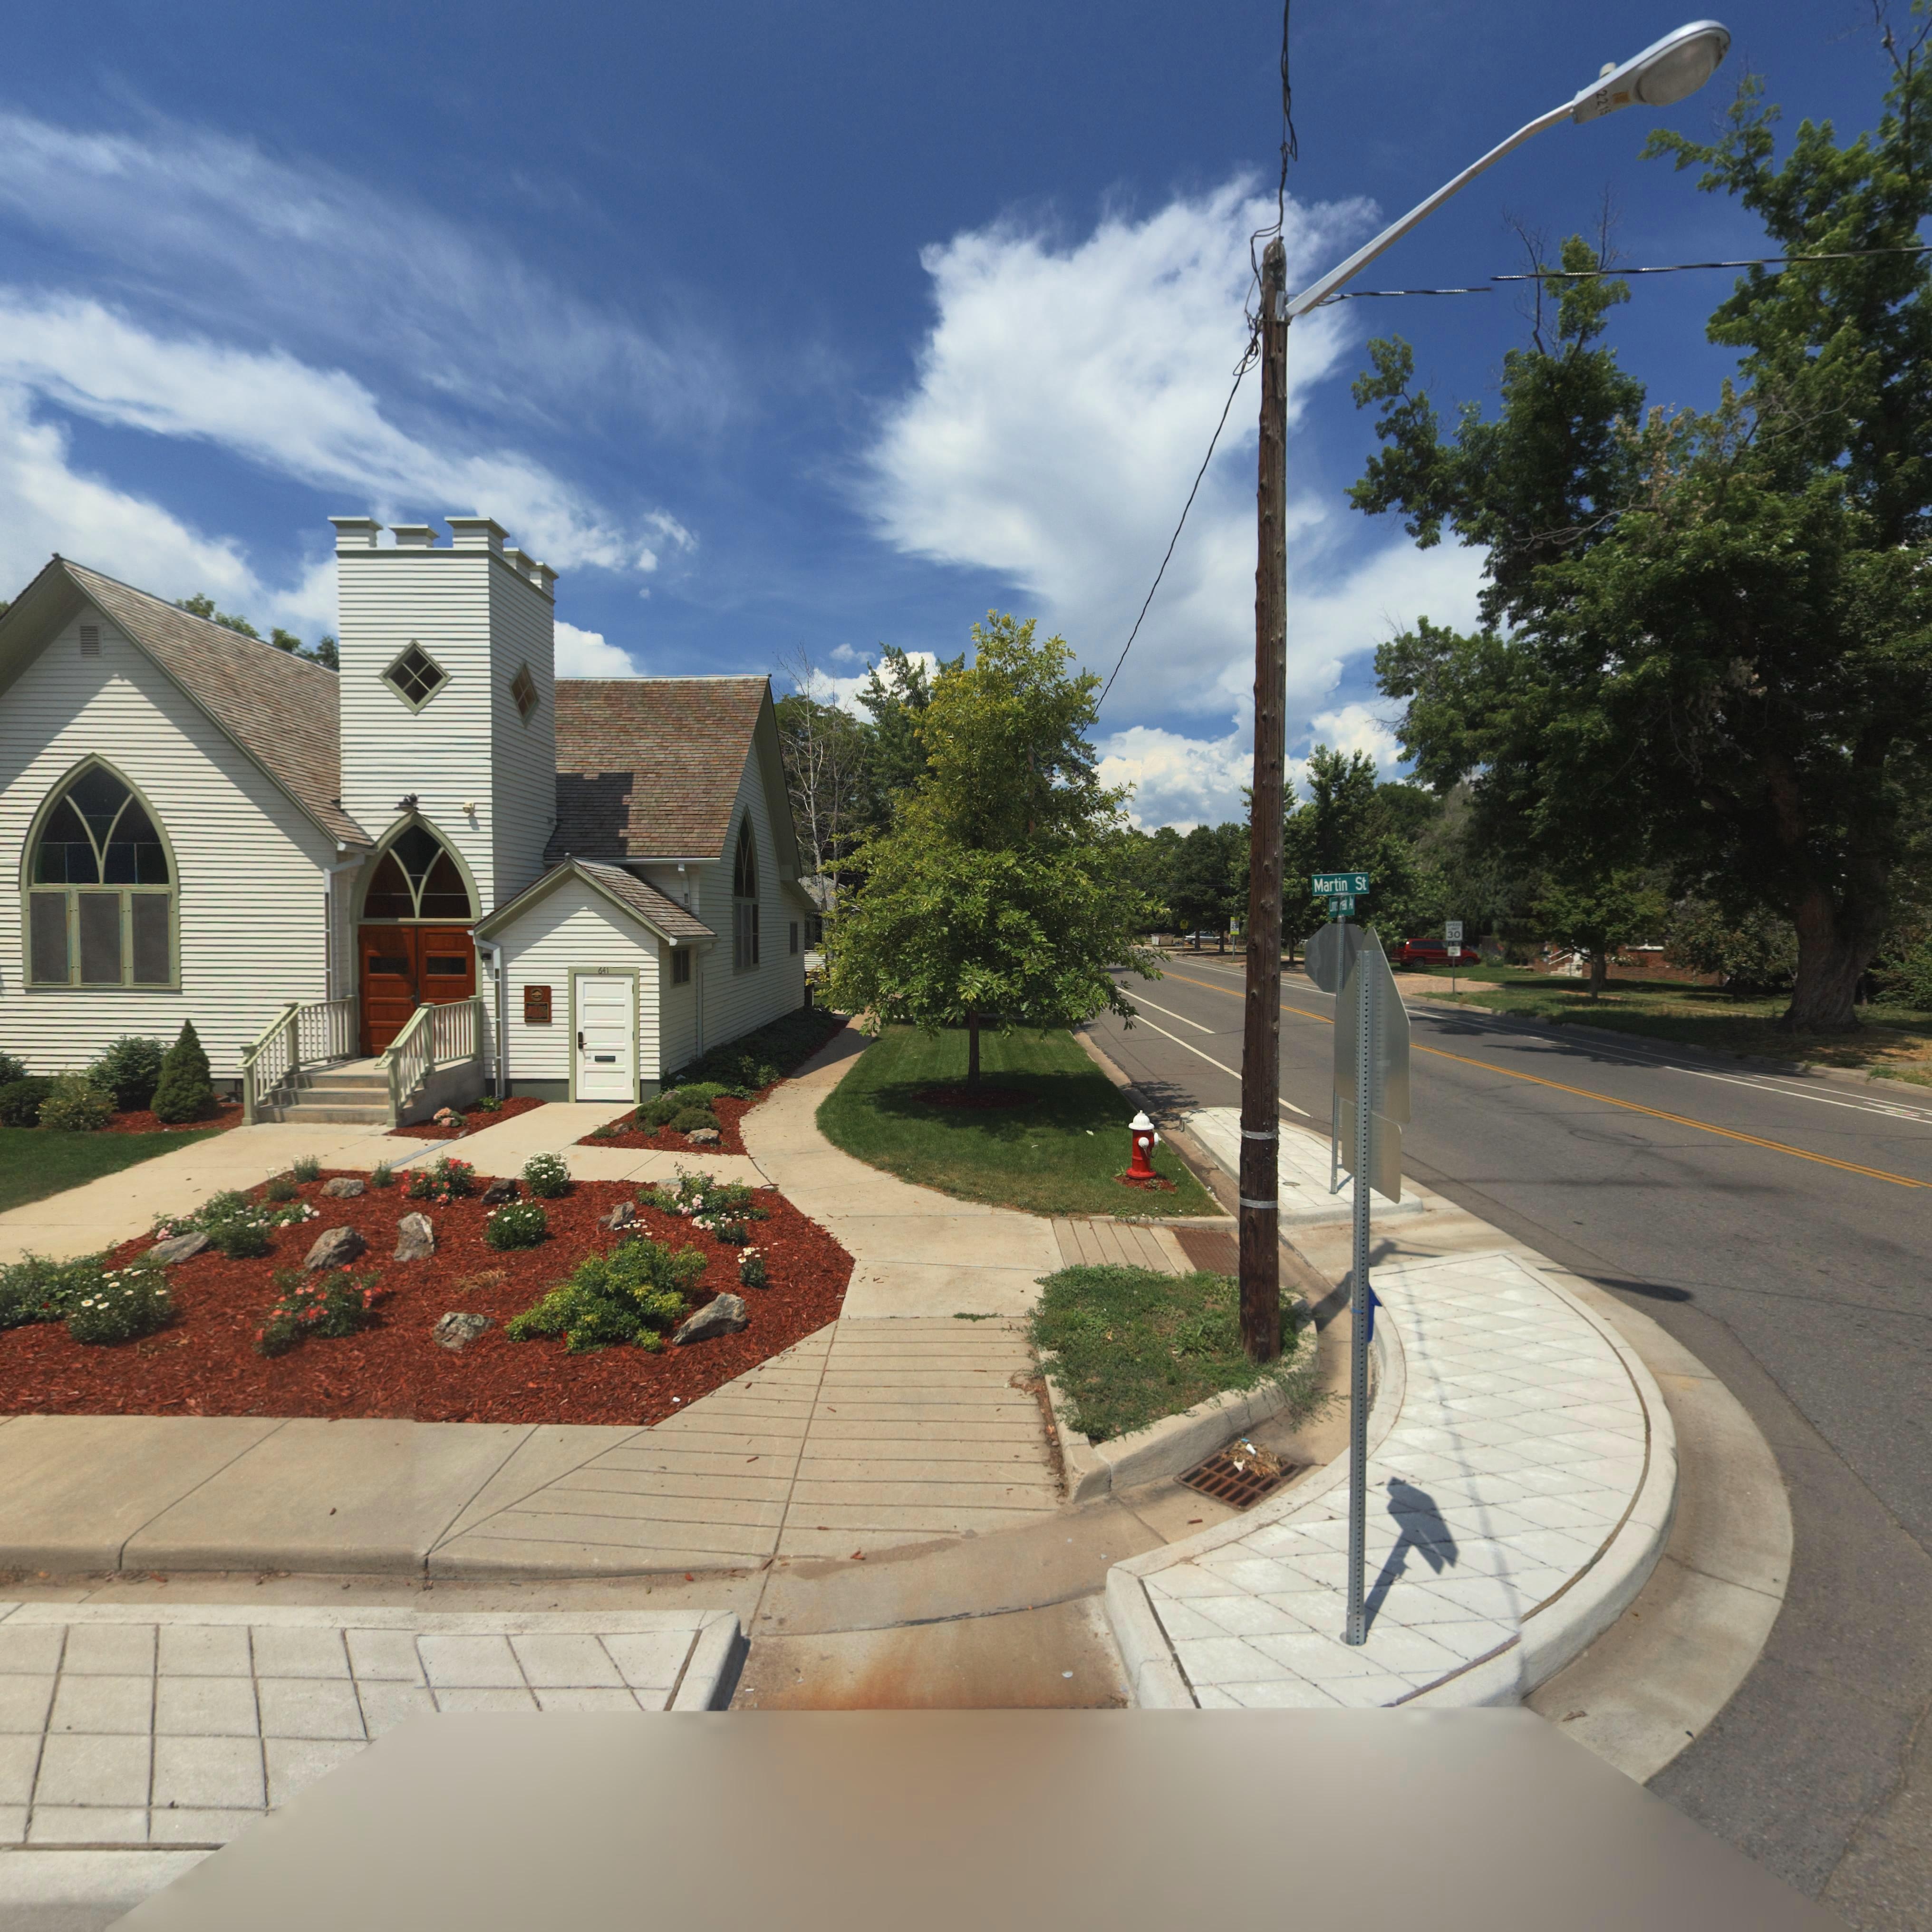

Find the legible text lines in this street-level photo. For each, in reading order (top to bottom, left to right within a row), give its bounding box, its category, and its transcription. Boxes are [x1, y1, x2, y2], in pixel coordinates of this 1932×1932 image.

[1314, 876, 1367, 892] StreetName: Martin St
[1329, 895, 1354, 912] StreetName: L***g Peak Av
[598, 966, 609, 974] StreetNumber: 641